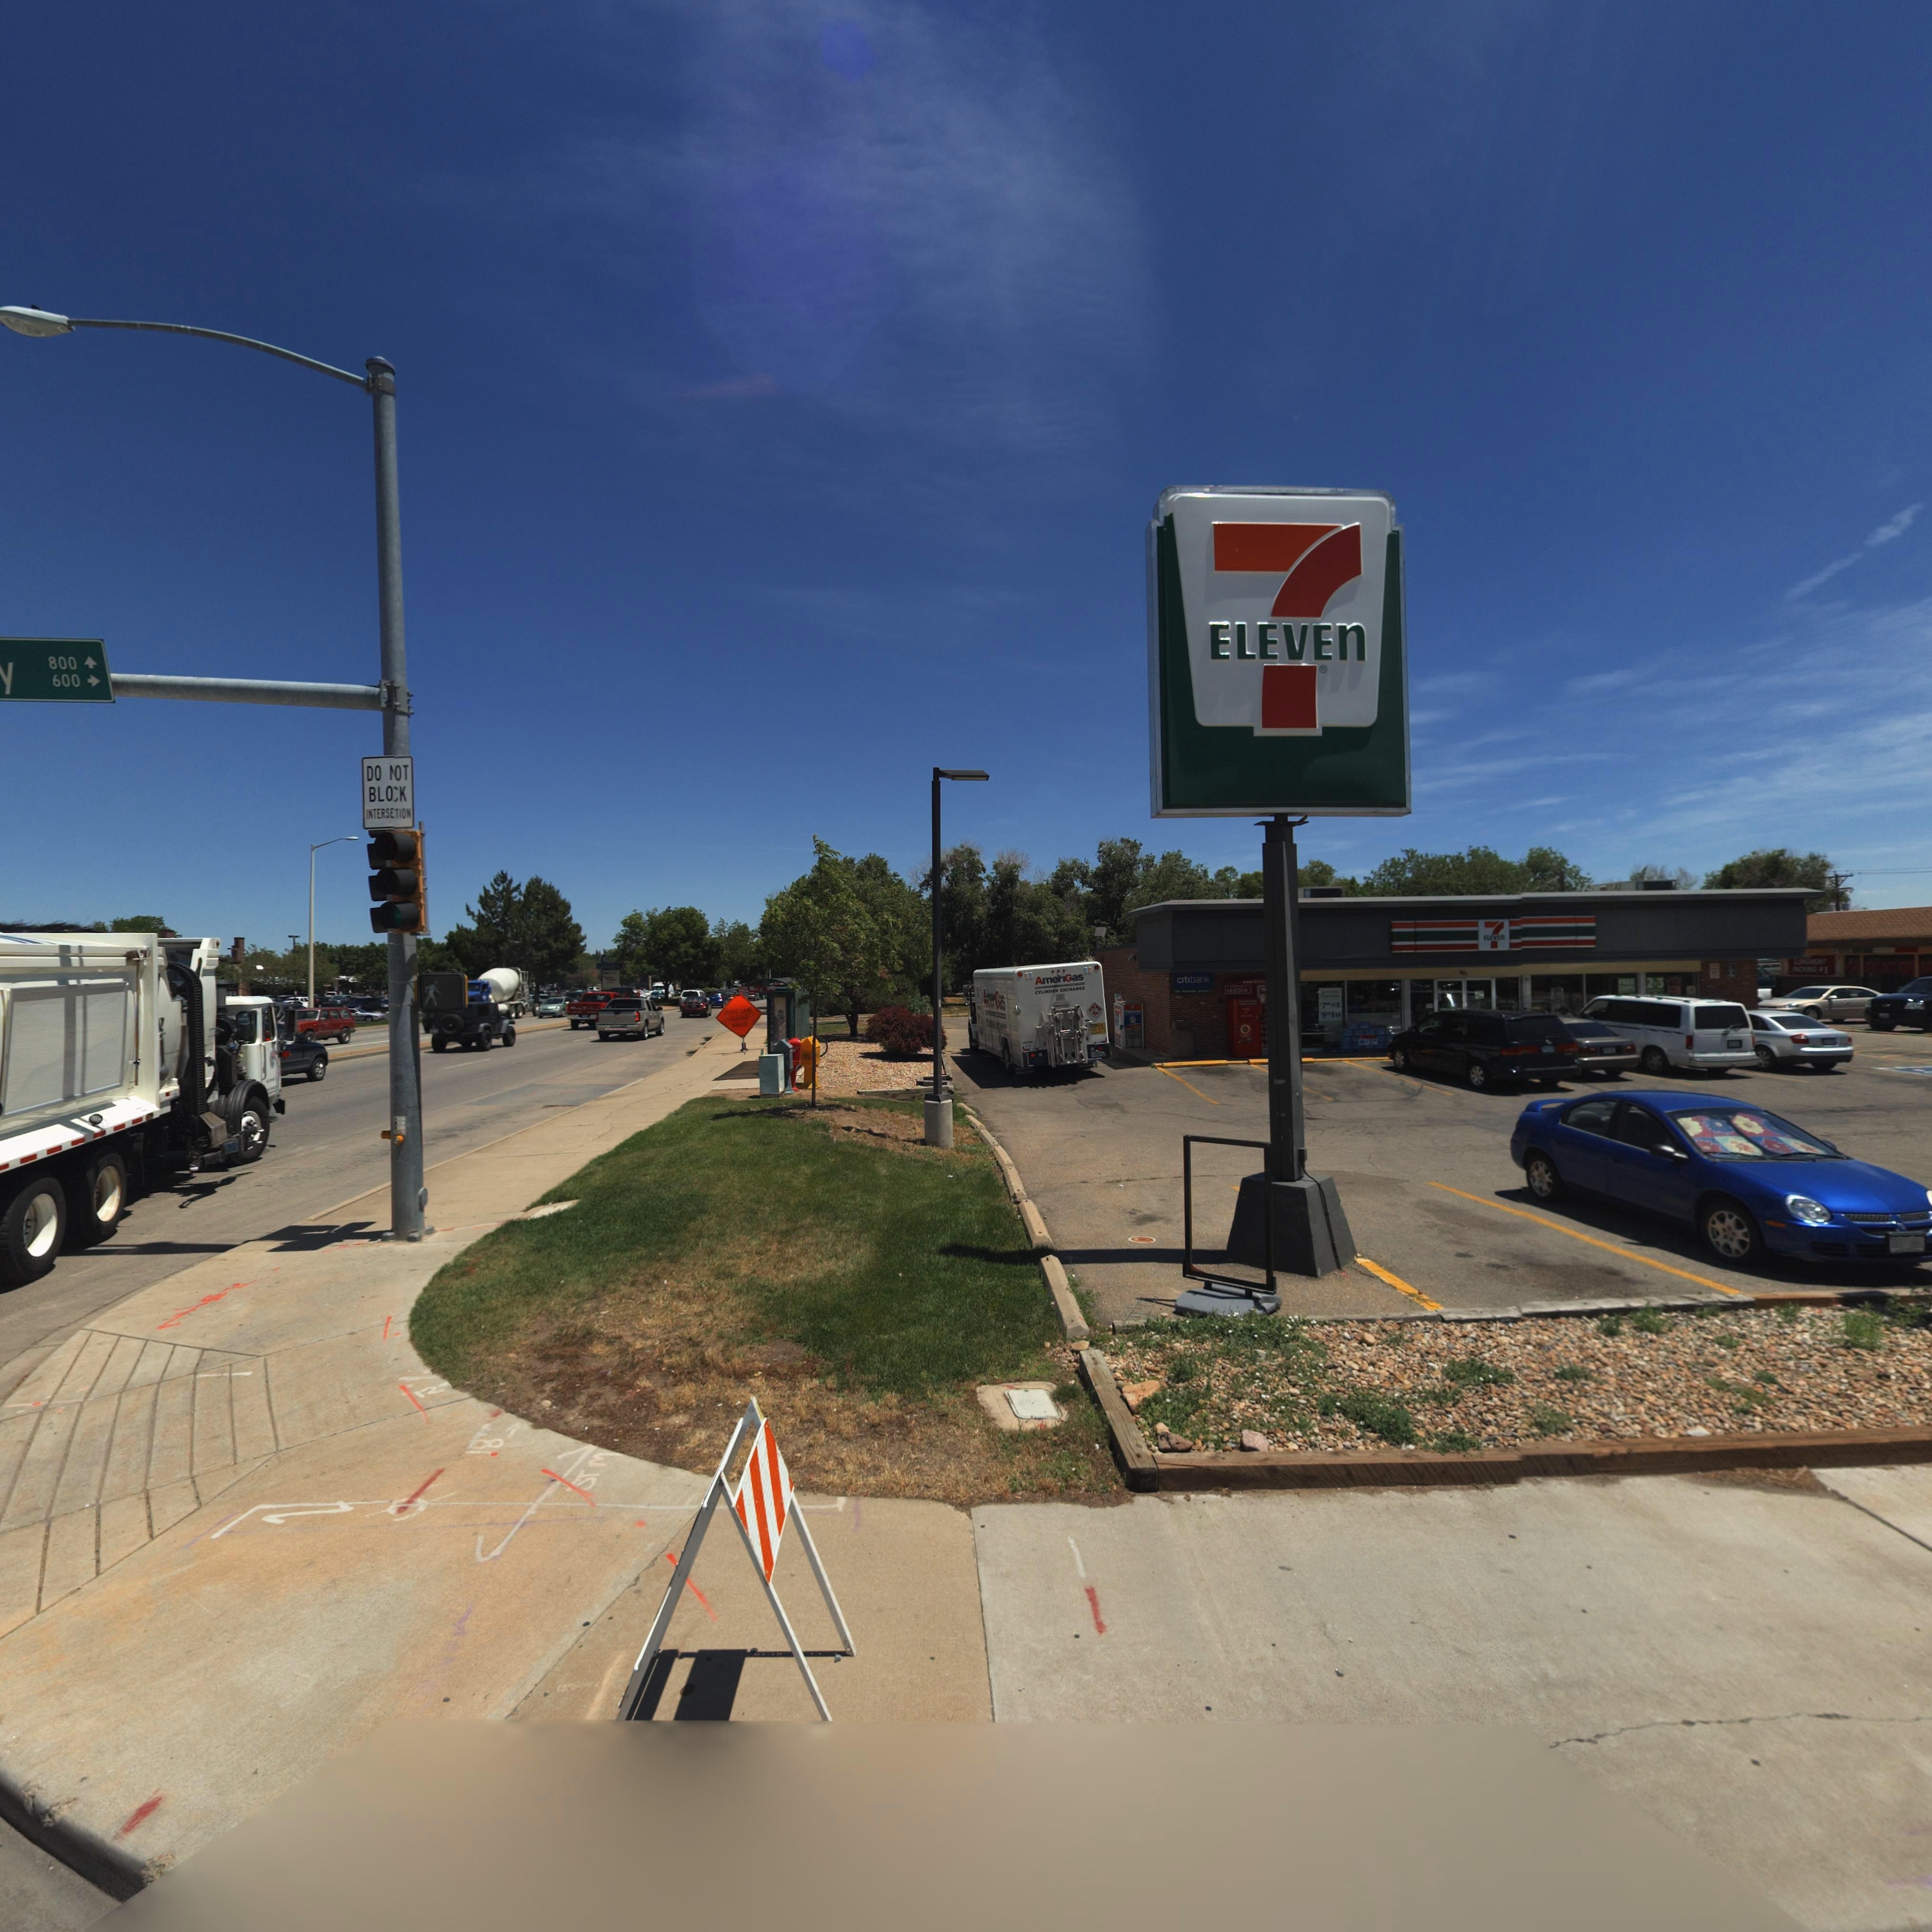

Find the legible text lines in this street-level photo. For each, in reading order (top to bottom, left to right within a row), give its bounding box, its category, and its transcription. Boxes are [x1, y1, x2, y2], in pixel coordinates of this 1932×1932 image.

[1209, 518, 1364, 732] BusinessName: 7
[1207, 620, 1367, 663] BusinessName: ELEVEn
[48, 655, 78, 671] StreetNumberRange: 800
[51, 673, 103, 688] StreetNumberRange: 600->
[1483, 920, 1505, 949] BusinessName: 7
[1483, 934, 1505, 941] BusinessName: ELEV*n
[1177, 975, 1210, 984] BusinessName: citibank
[1226, 986, 1248, 993] BusinessName: redbox